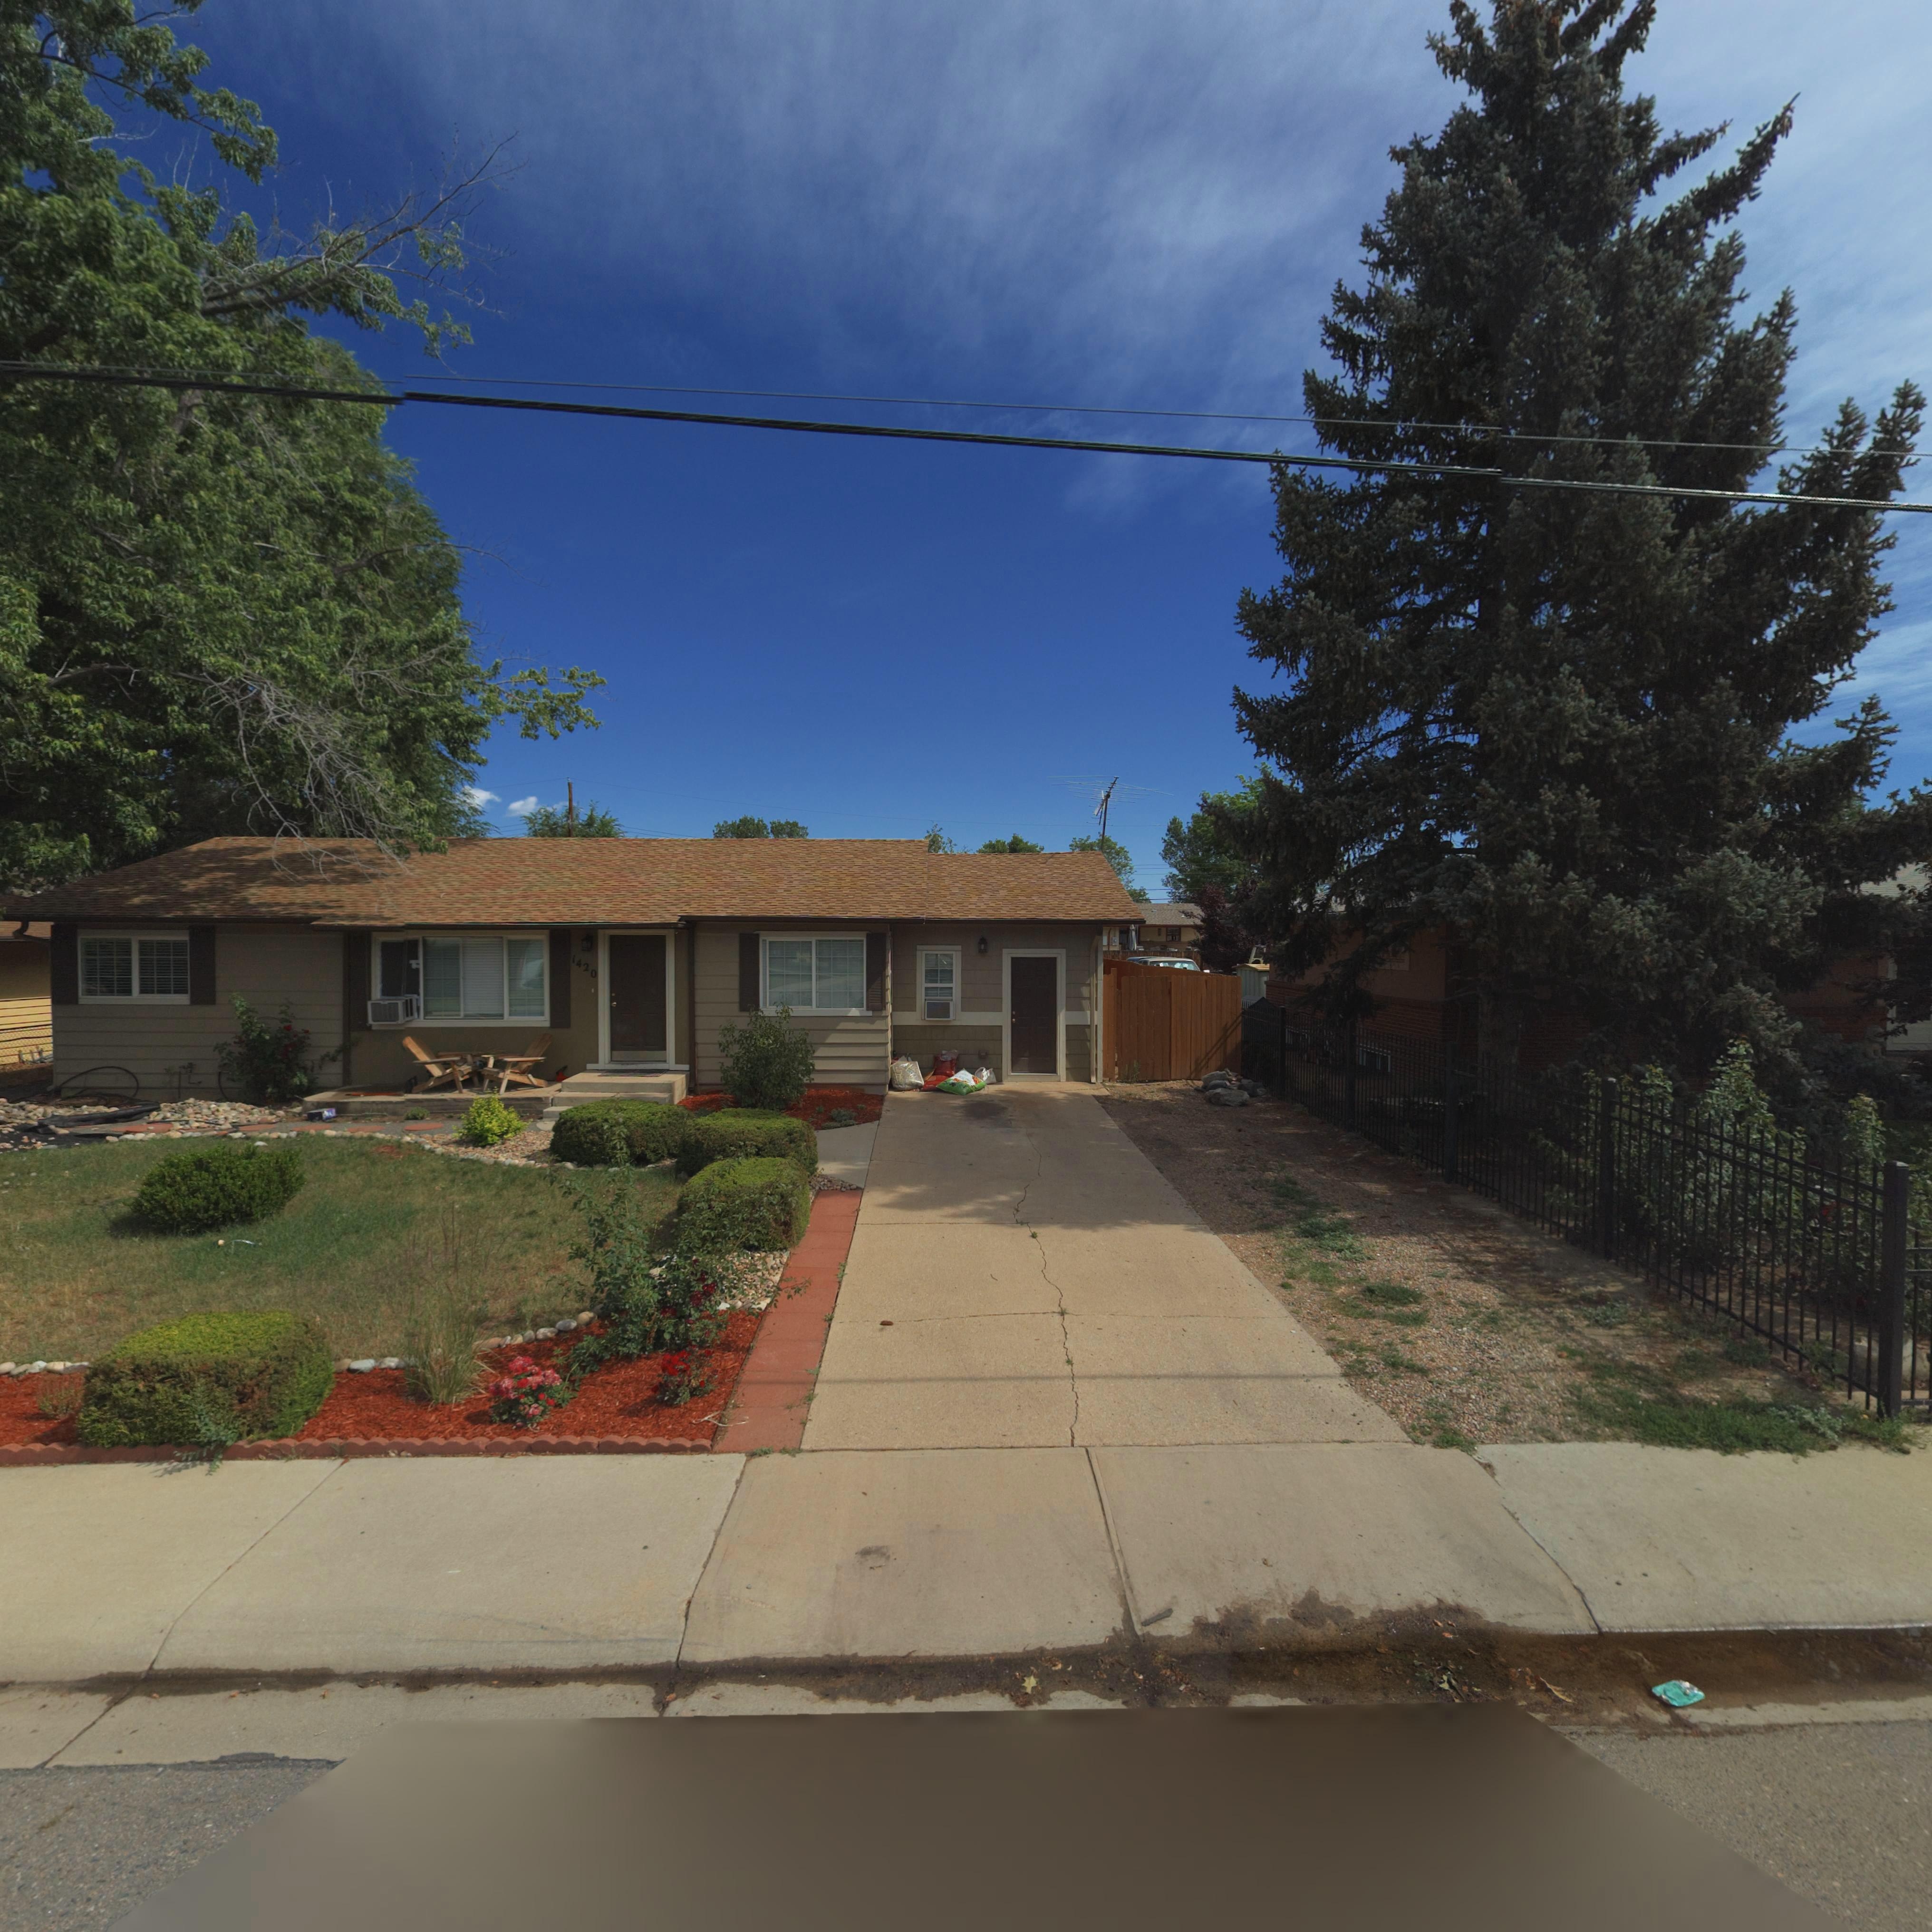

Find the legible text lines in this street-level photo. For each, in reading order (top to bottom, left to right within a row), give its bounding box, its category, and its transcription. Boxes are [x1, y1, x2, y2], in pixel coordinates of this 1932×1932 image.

[572, 954, 596, 978] StreetNumber: 1420